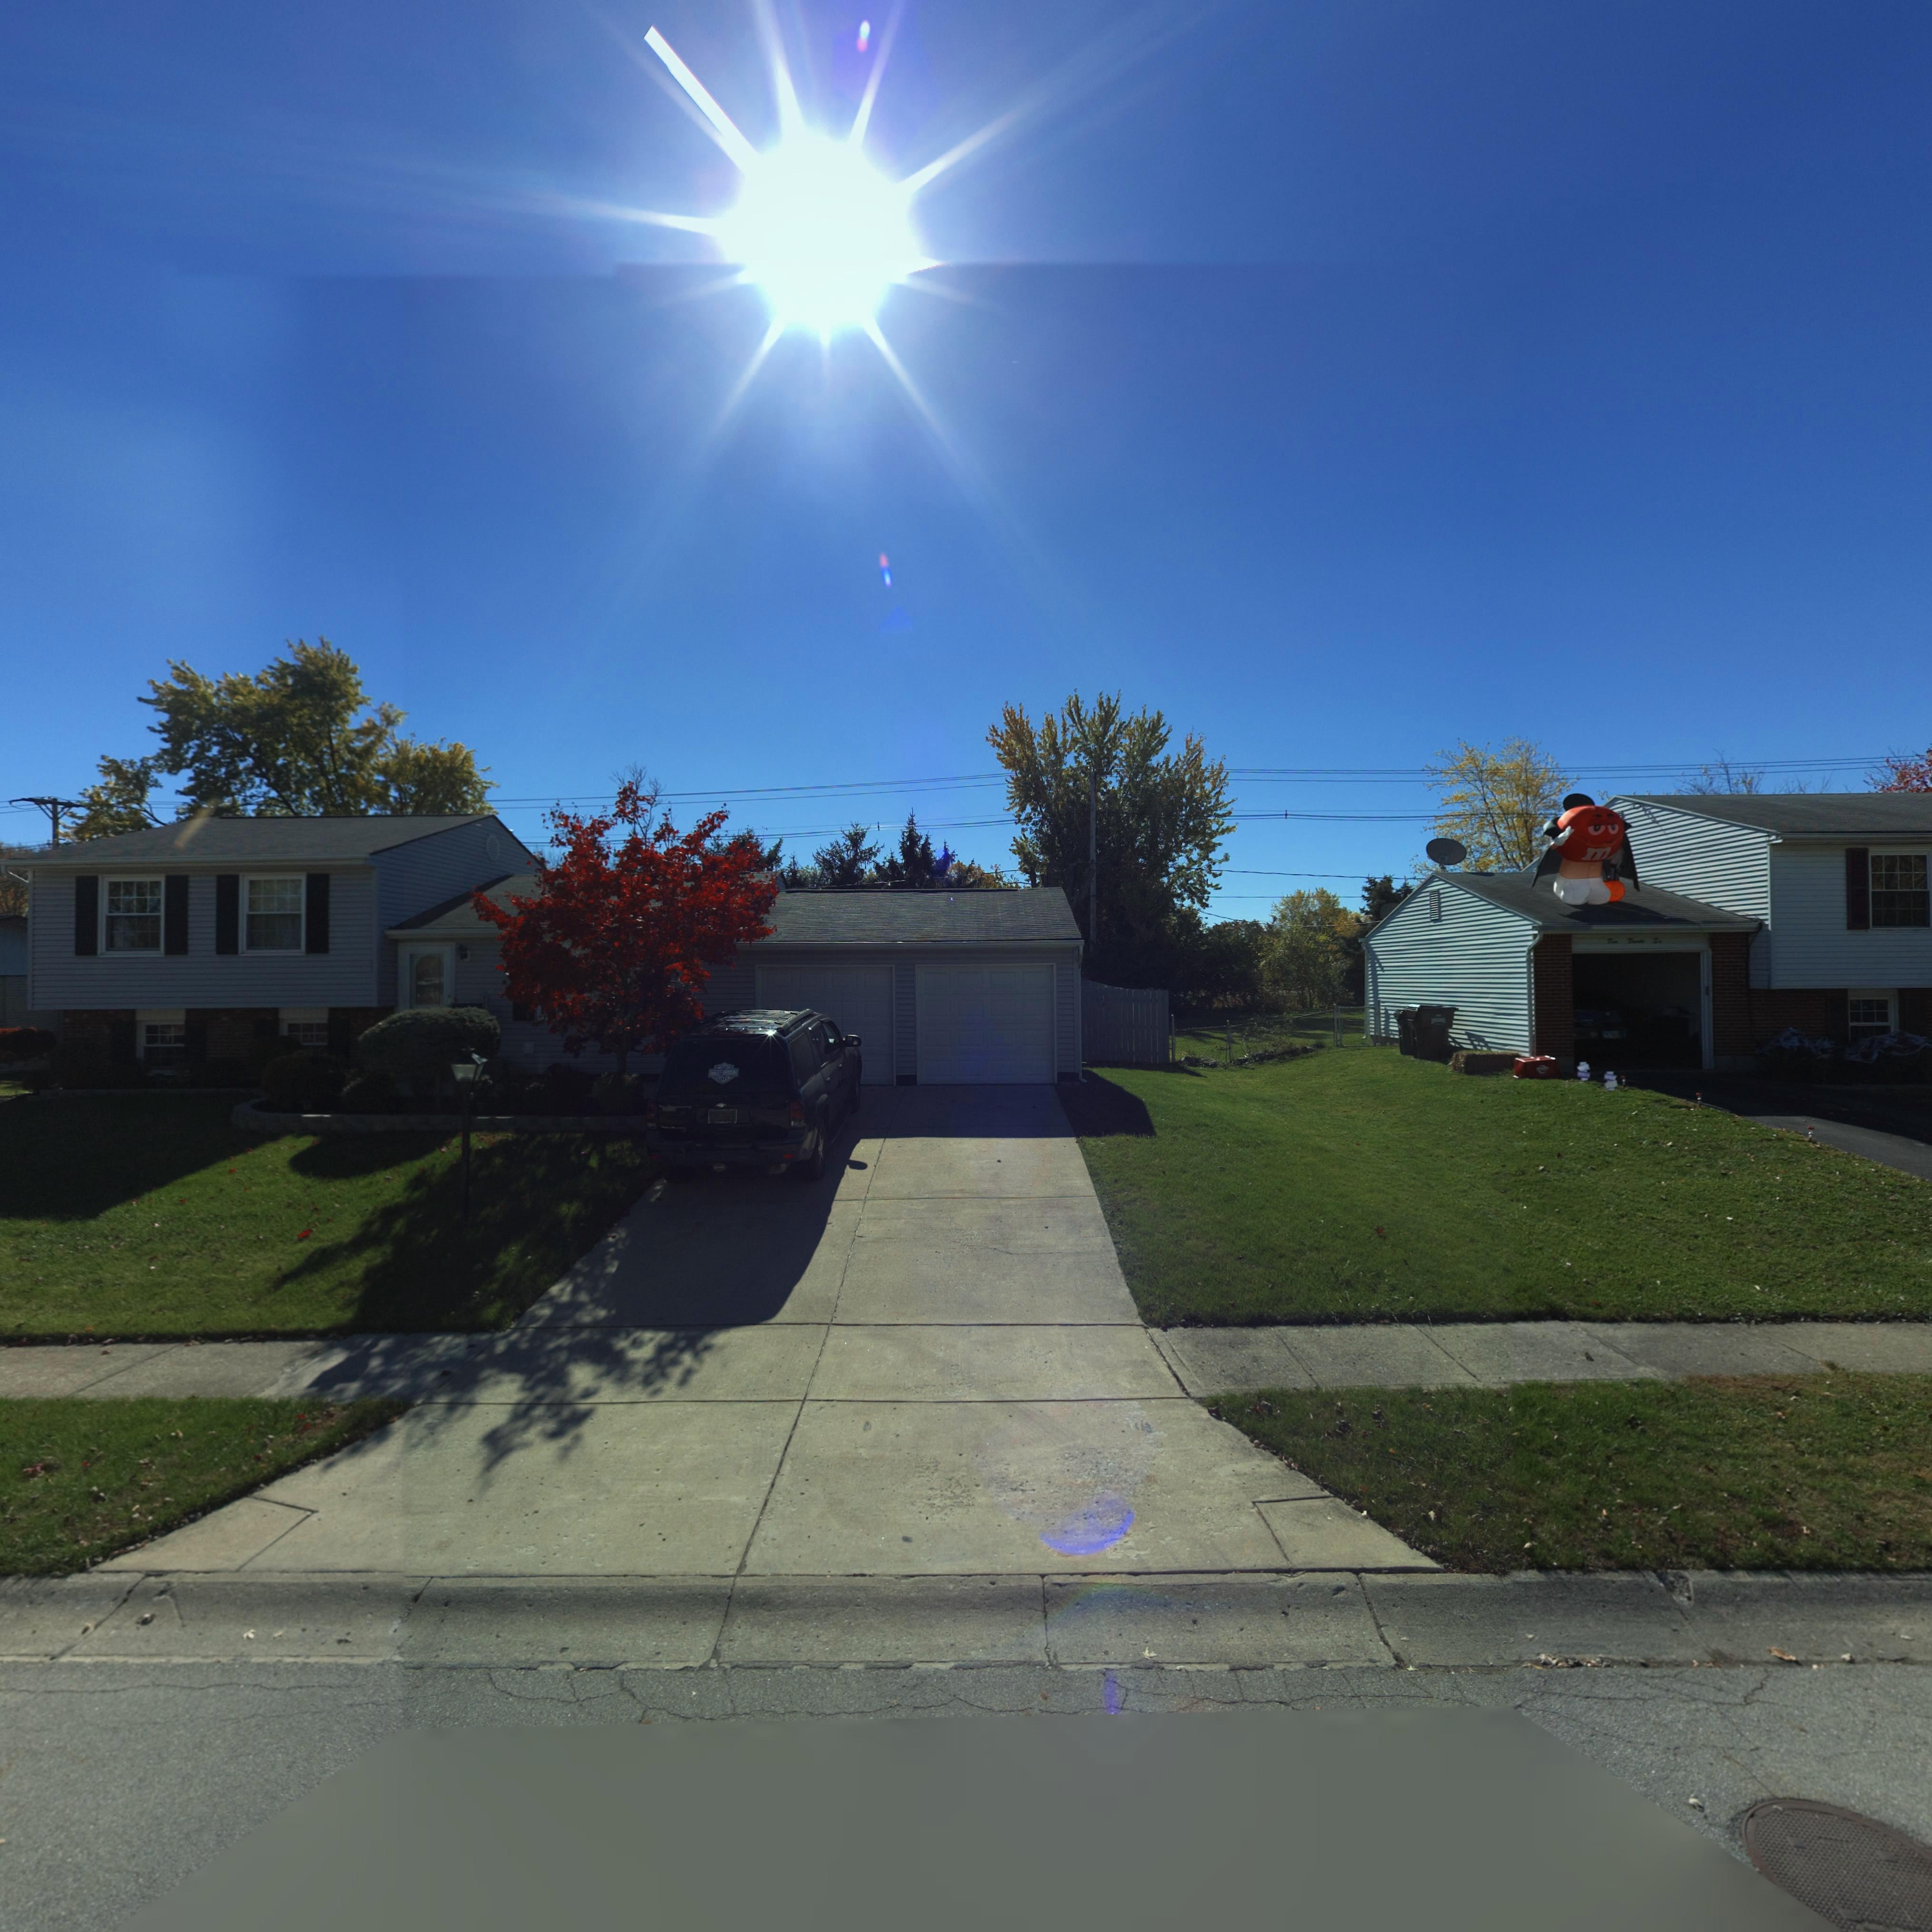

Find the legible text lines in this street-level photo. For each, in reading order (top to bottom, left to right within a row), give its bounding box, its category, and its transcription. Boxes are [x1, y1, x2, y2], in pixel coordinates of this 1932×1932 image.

[1606, 938, 1613, 945] StreetNumber: T
[1627, 937, 1634, 944] StreetNumber: T
[1652, 937, 1659, 944] StreetNumber: S